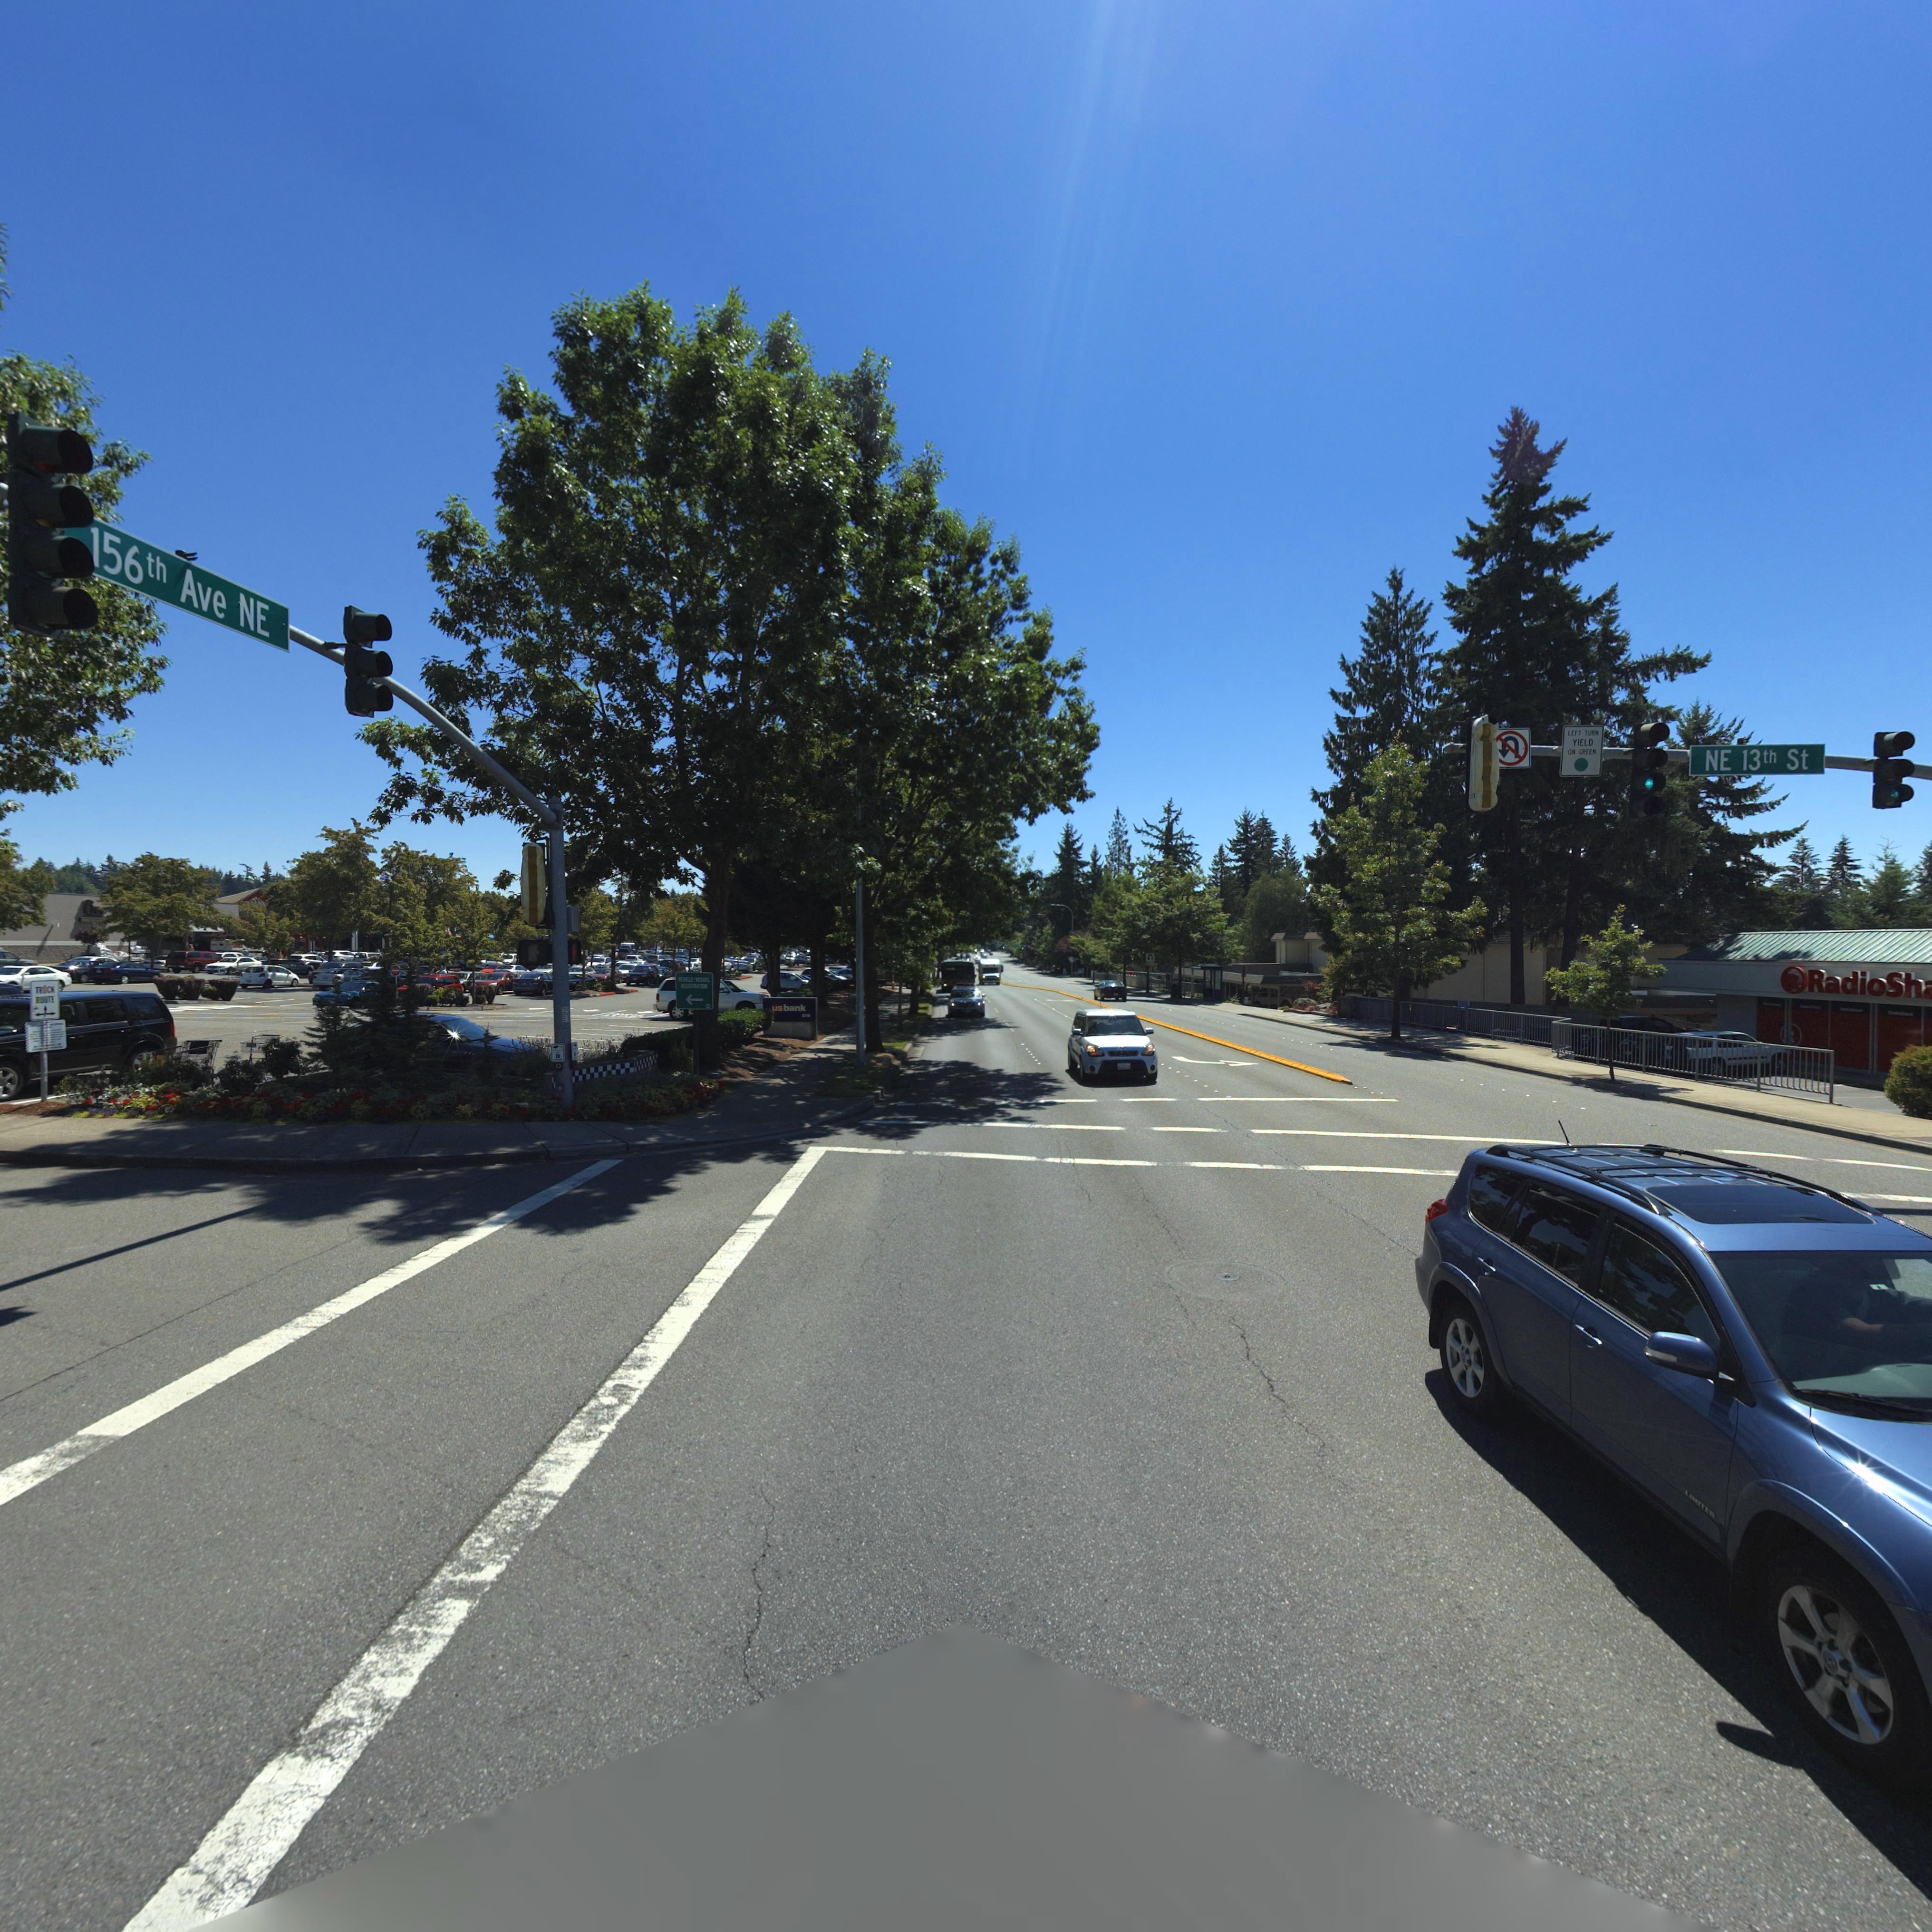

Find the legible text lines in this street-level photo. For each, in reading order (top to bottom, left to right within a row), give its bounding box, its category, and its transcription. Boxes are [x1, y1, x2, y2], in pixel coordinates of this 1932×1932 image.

[92, 526, 272, 641] StreetName: 156th Ave NE
[1705, 748, 1809, 771] StreetName: NE 13th St
[1807, 968, 1923, 997] BusinessName: RadioSh
[772, 1004, 806, 1011] BusinessName: us bank